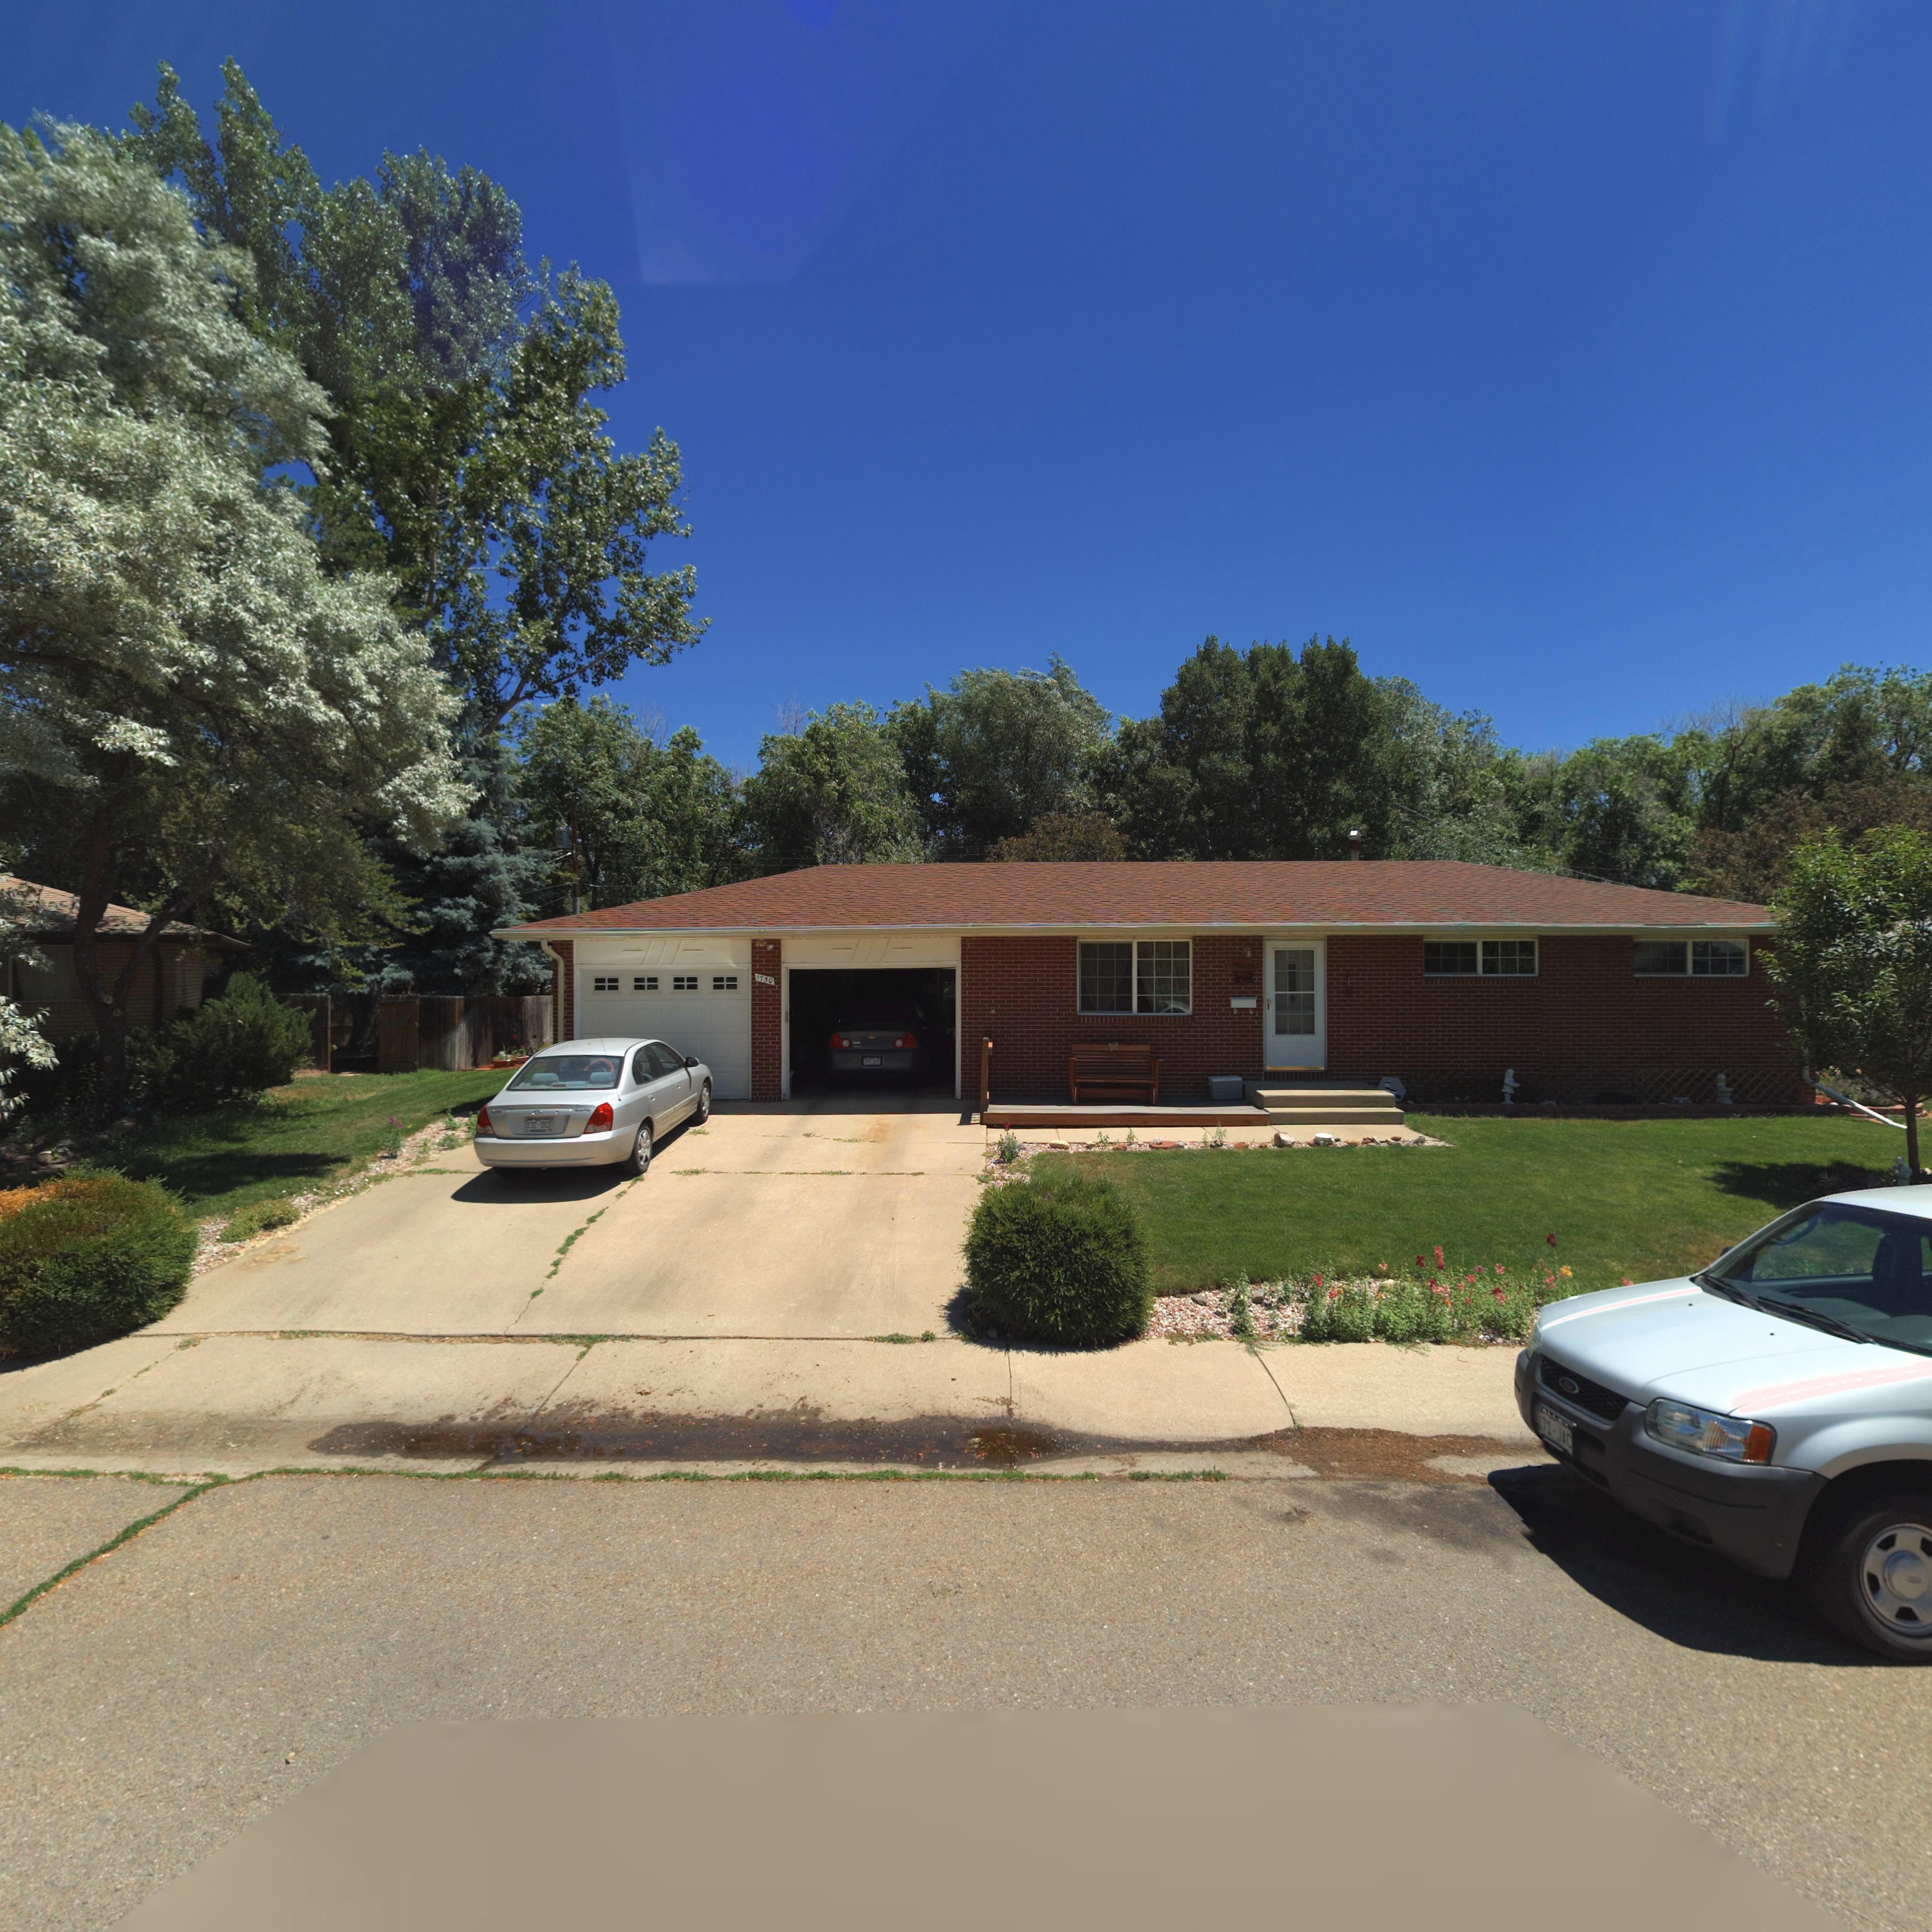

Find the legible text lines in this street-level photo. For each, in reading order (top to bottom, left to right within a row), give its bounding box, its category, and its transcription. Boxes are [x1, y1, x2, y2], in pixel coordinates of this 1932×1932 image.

[756, 974, 772, 984] StreetNumber: 1750